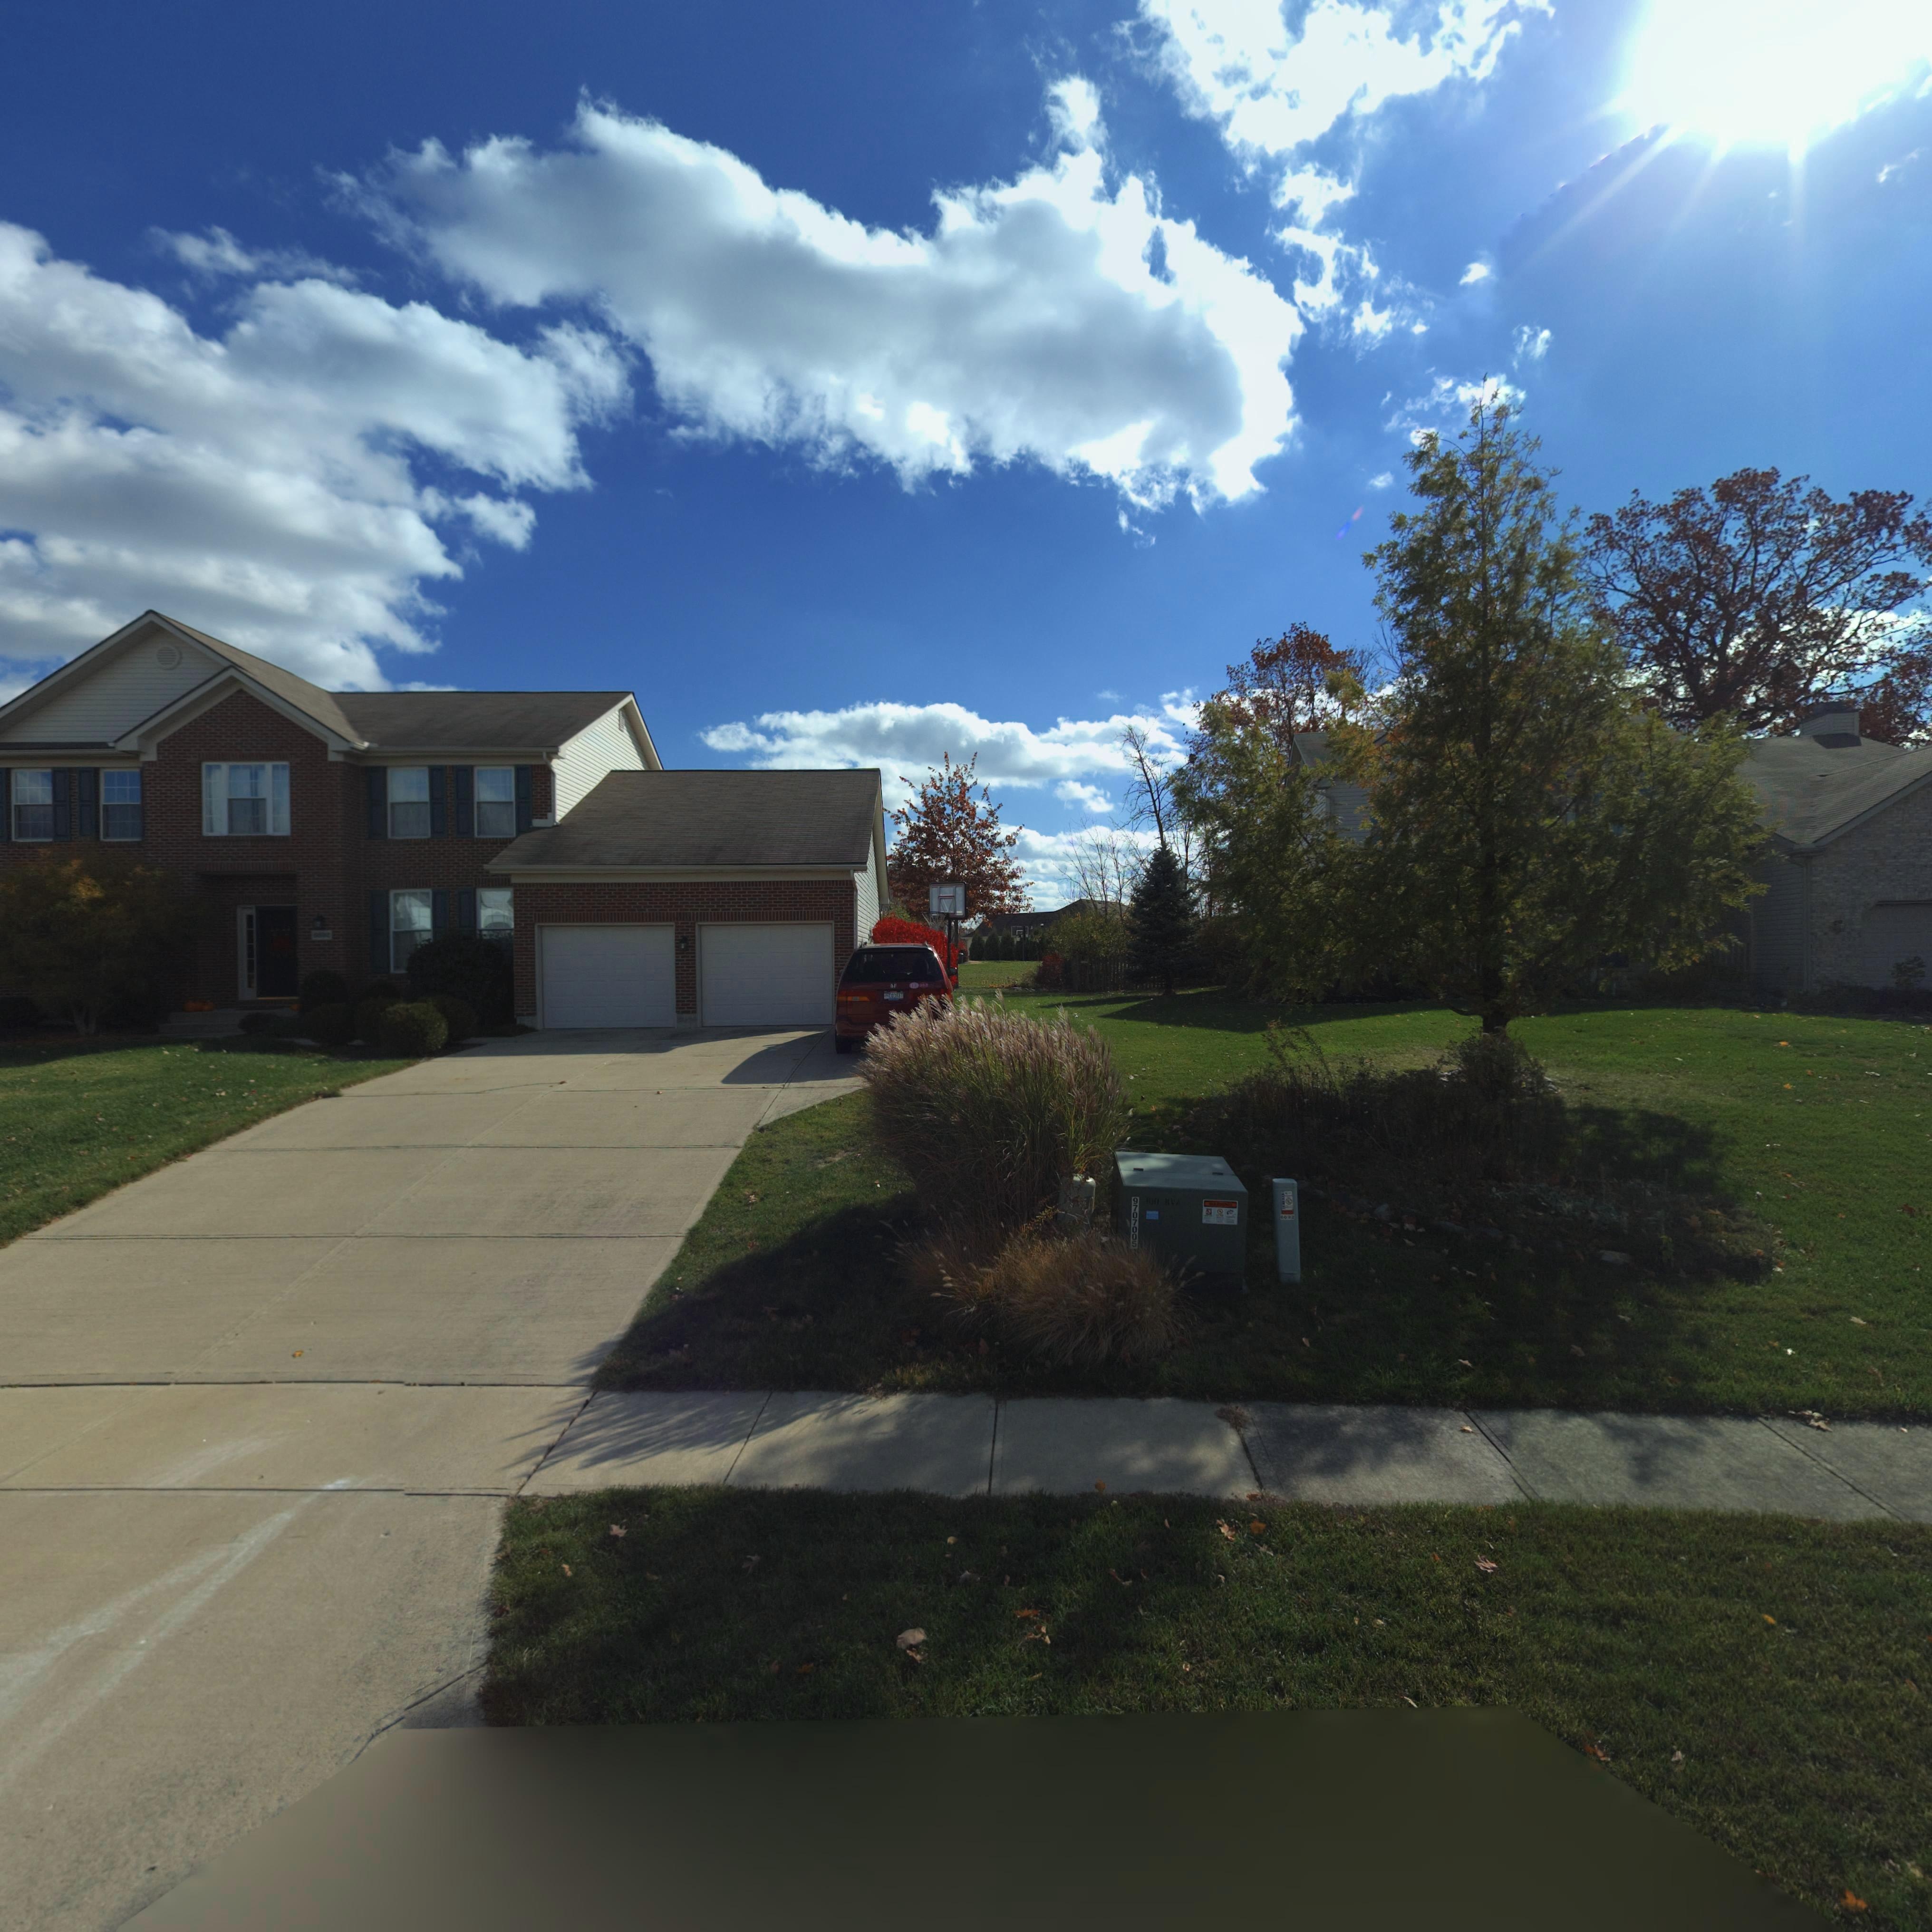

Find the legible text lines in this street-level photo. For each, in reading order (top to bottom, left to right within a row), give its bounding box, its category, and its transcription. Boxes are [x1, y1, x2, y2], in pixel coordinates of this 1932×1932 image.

[1280, 1214, 1295, 1221] StreetNumber: 6692